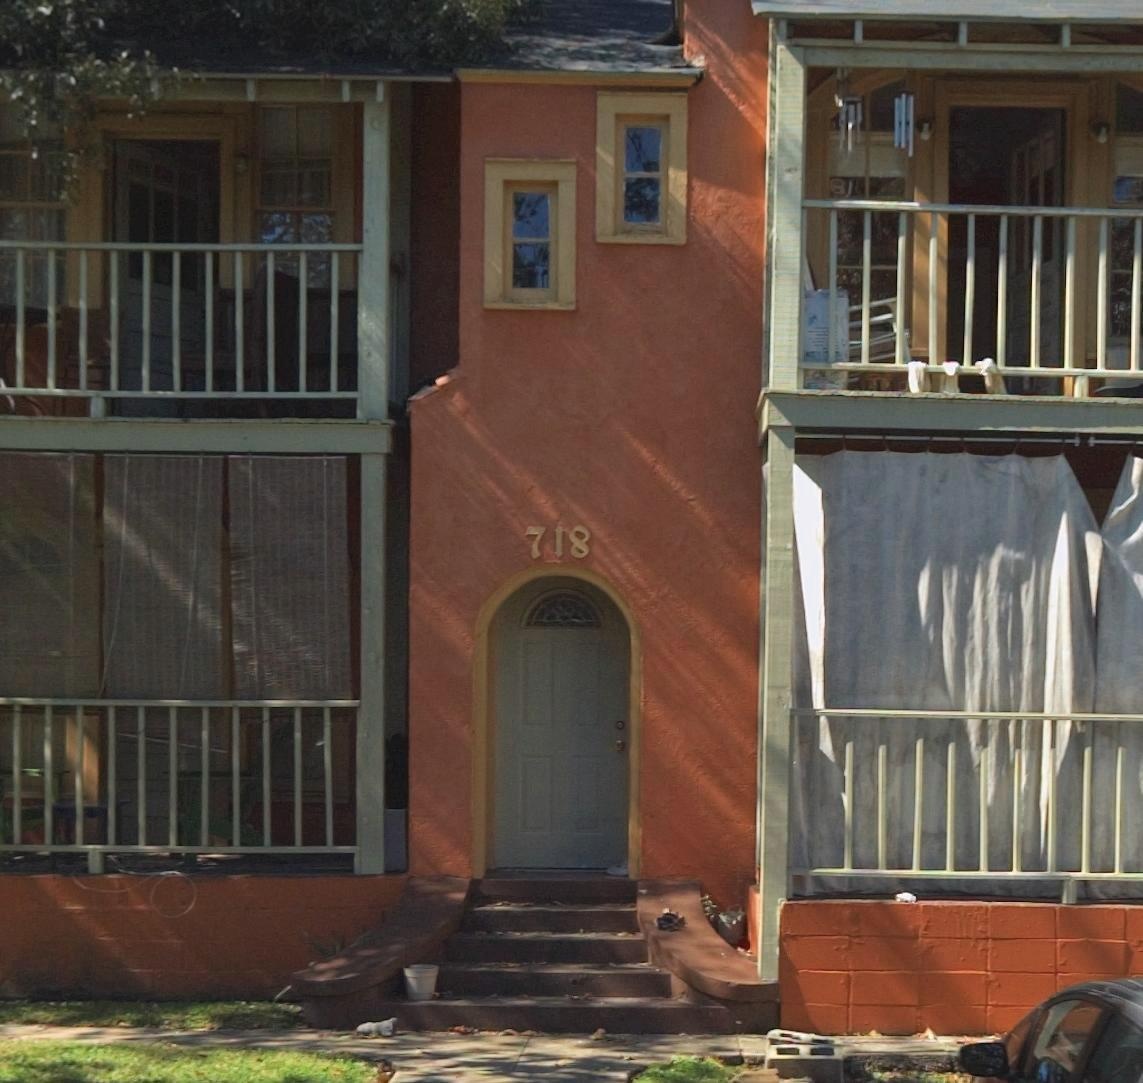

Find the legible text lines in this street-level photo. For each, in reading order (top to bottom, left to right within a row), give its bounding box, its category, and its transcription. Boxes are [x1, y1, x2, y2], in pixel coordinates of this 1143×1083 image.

[523, 523, 592, 561] StreetNumber: 718